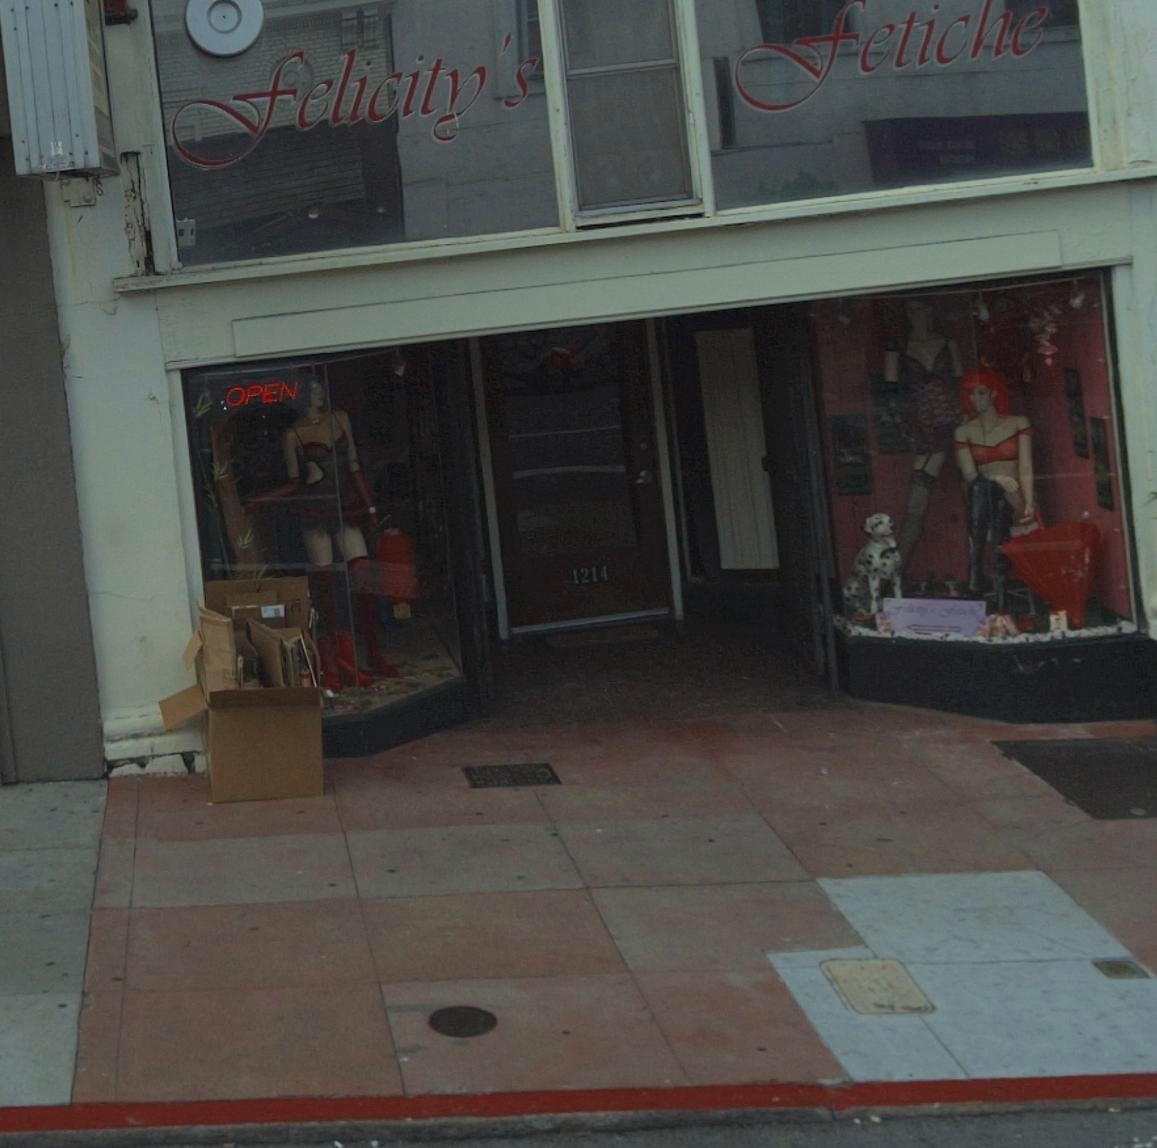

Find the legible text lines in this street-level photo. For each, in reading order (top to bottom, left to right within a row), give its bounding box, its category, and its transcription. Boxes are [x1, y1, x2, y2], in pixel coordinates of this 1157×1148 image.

[160, 24, 547, 180] BusinessName: felicity's
[724, 0, 978, 122] BusinessName: fetic
[221, 375, 305, 412] None: OPEN
[569, 562, 613, 588] StreetNumber: 1214